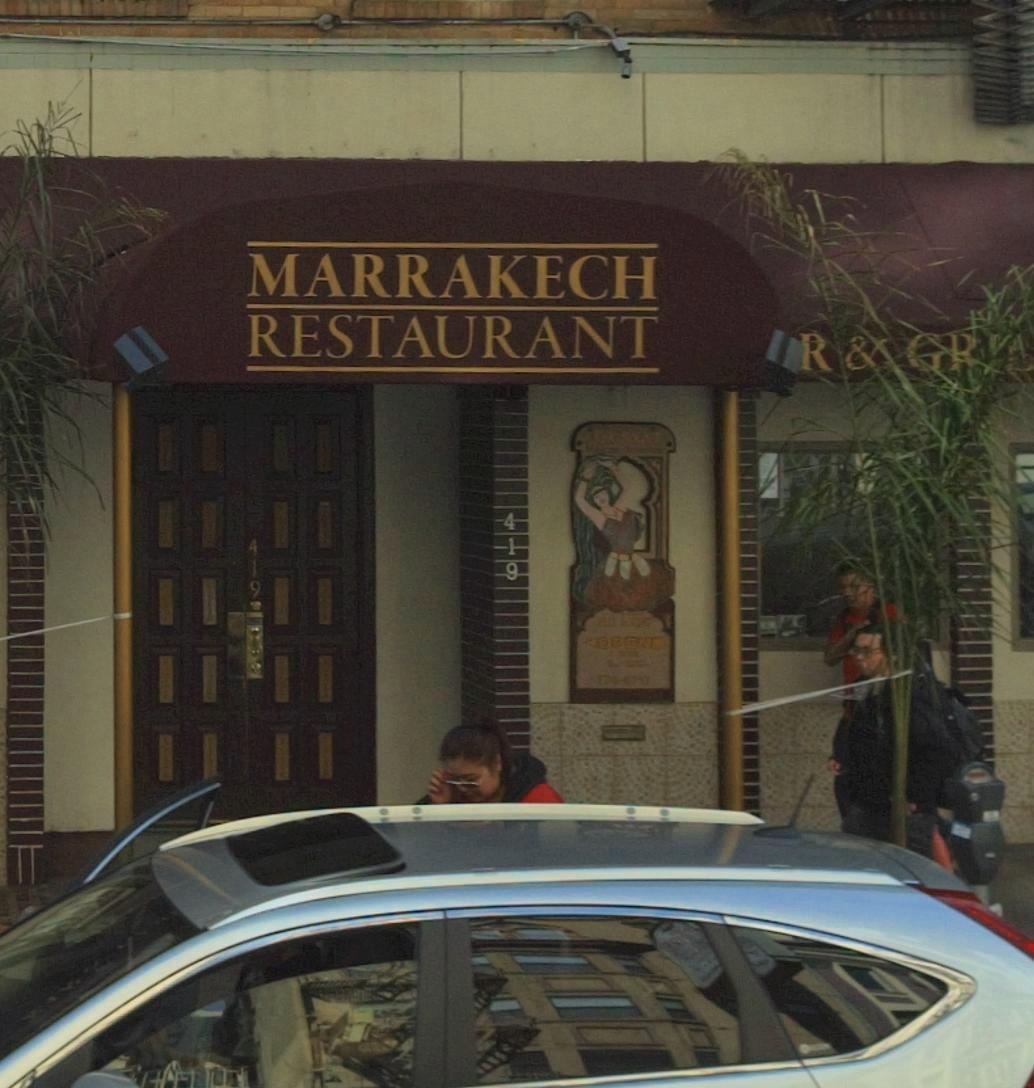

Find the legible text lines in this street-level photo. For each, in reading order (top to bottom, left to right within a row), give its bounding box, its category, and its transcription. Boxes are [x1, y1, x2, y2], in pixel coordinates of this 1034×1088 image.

[243, 247, 662, 305] BusinessName: MARRAKECH
[243, 308, 663, 365] BusinessName: RESTAURANT
[794, 325, 984, 377] None: R & GR
[243, 533, 265, 603] None: 419
[500, 509, 523, 586] StreetNumber: 419